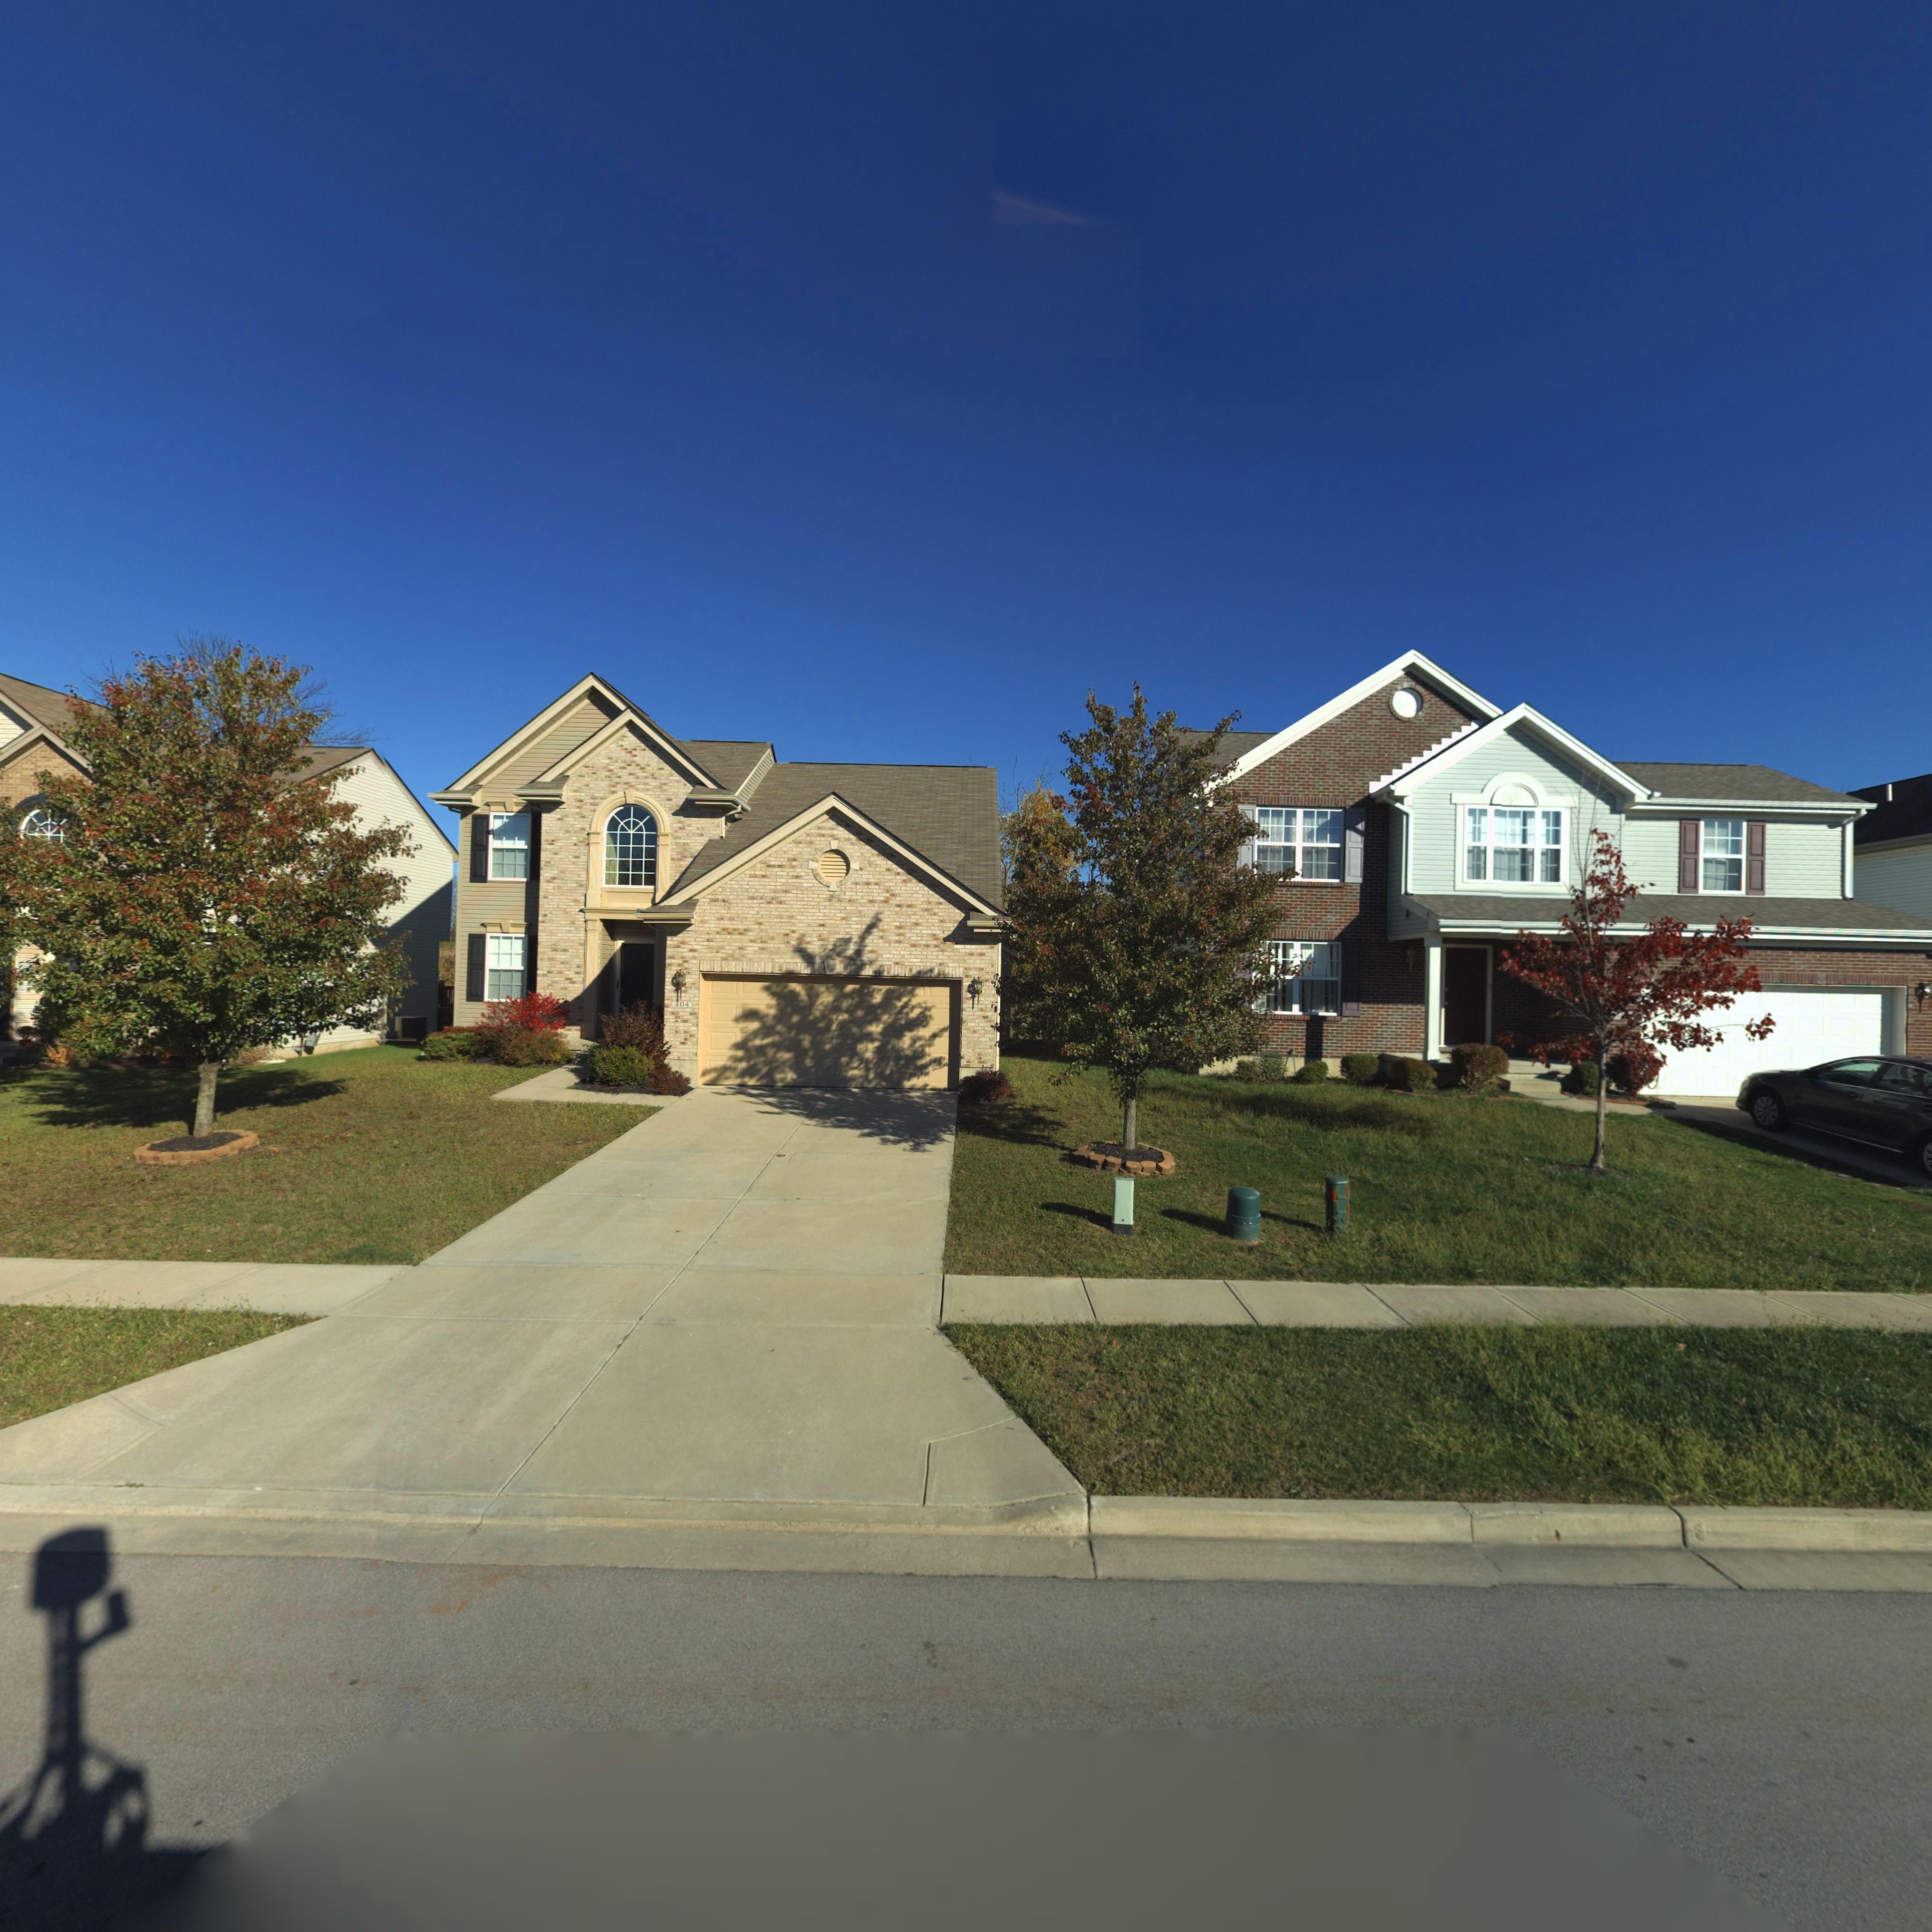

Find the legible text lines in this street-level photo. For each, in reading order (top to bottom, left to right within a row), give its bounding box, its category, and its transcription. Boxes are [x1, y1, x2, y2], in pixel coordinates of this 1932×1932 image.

[674, 1001, 689, 1007] StreetNumber: 404